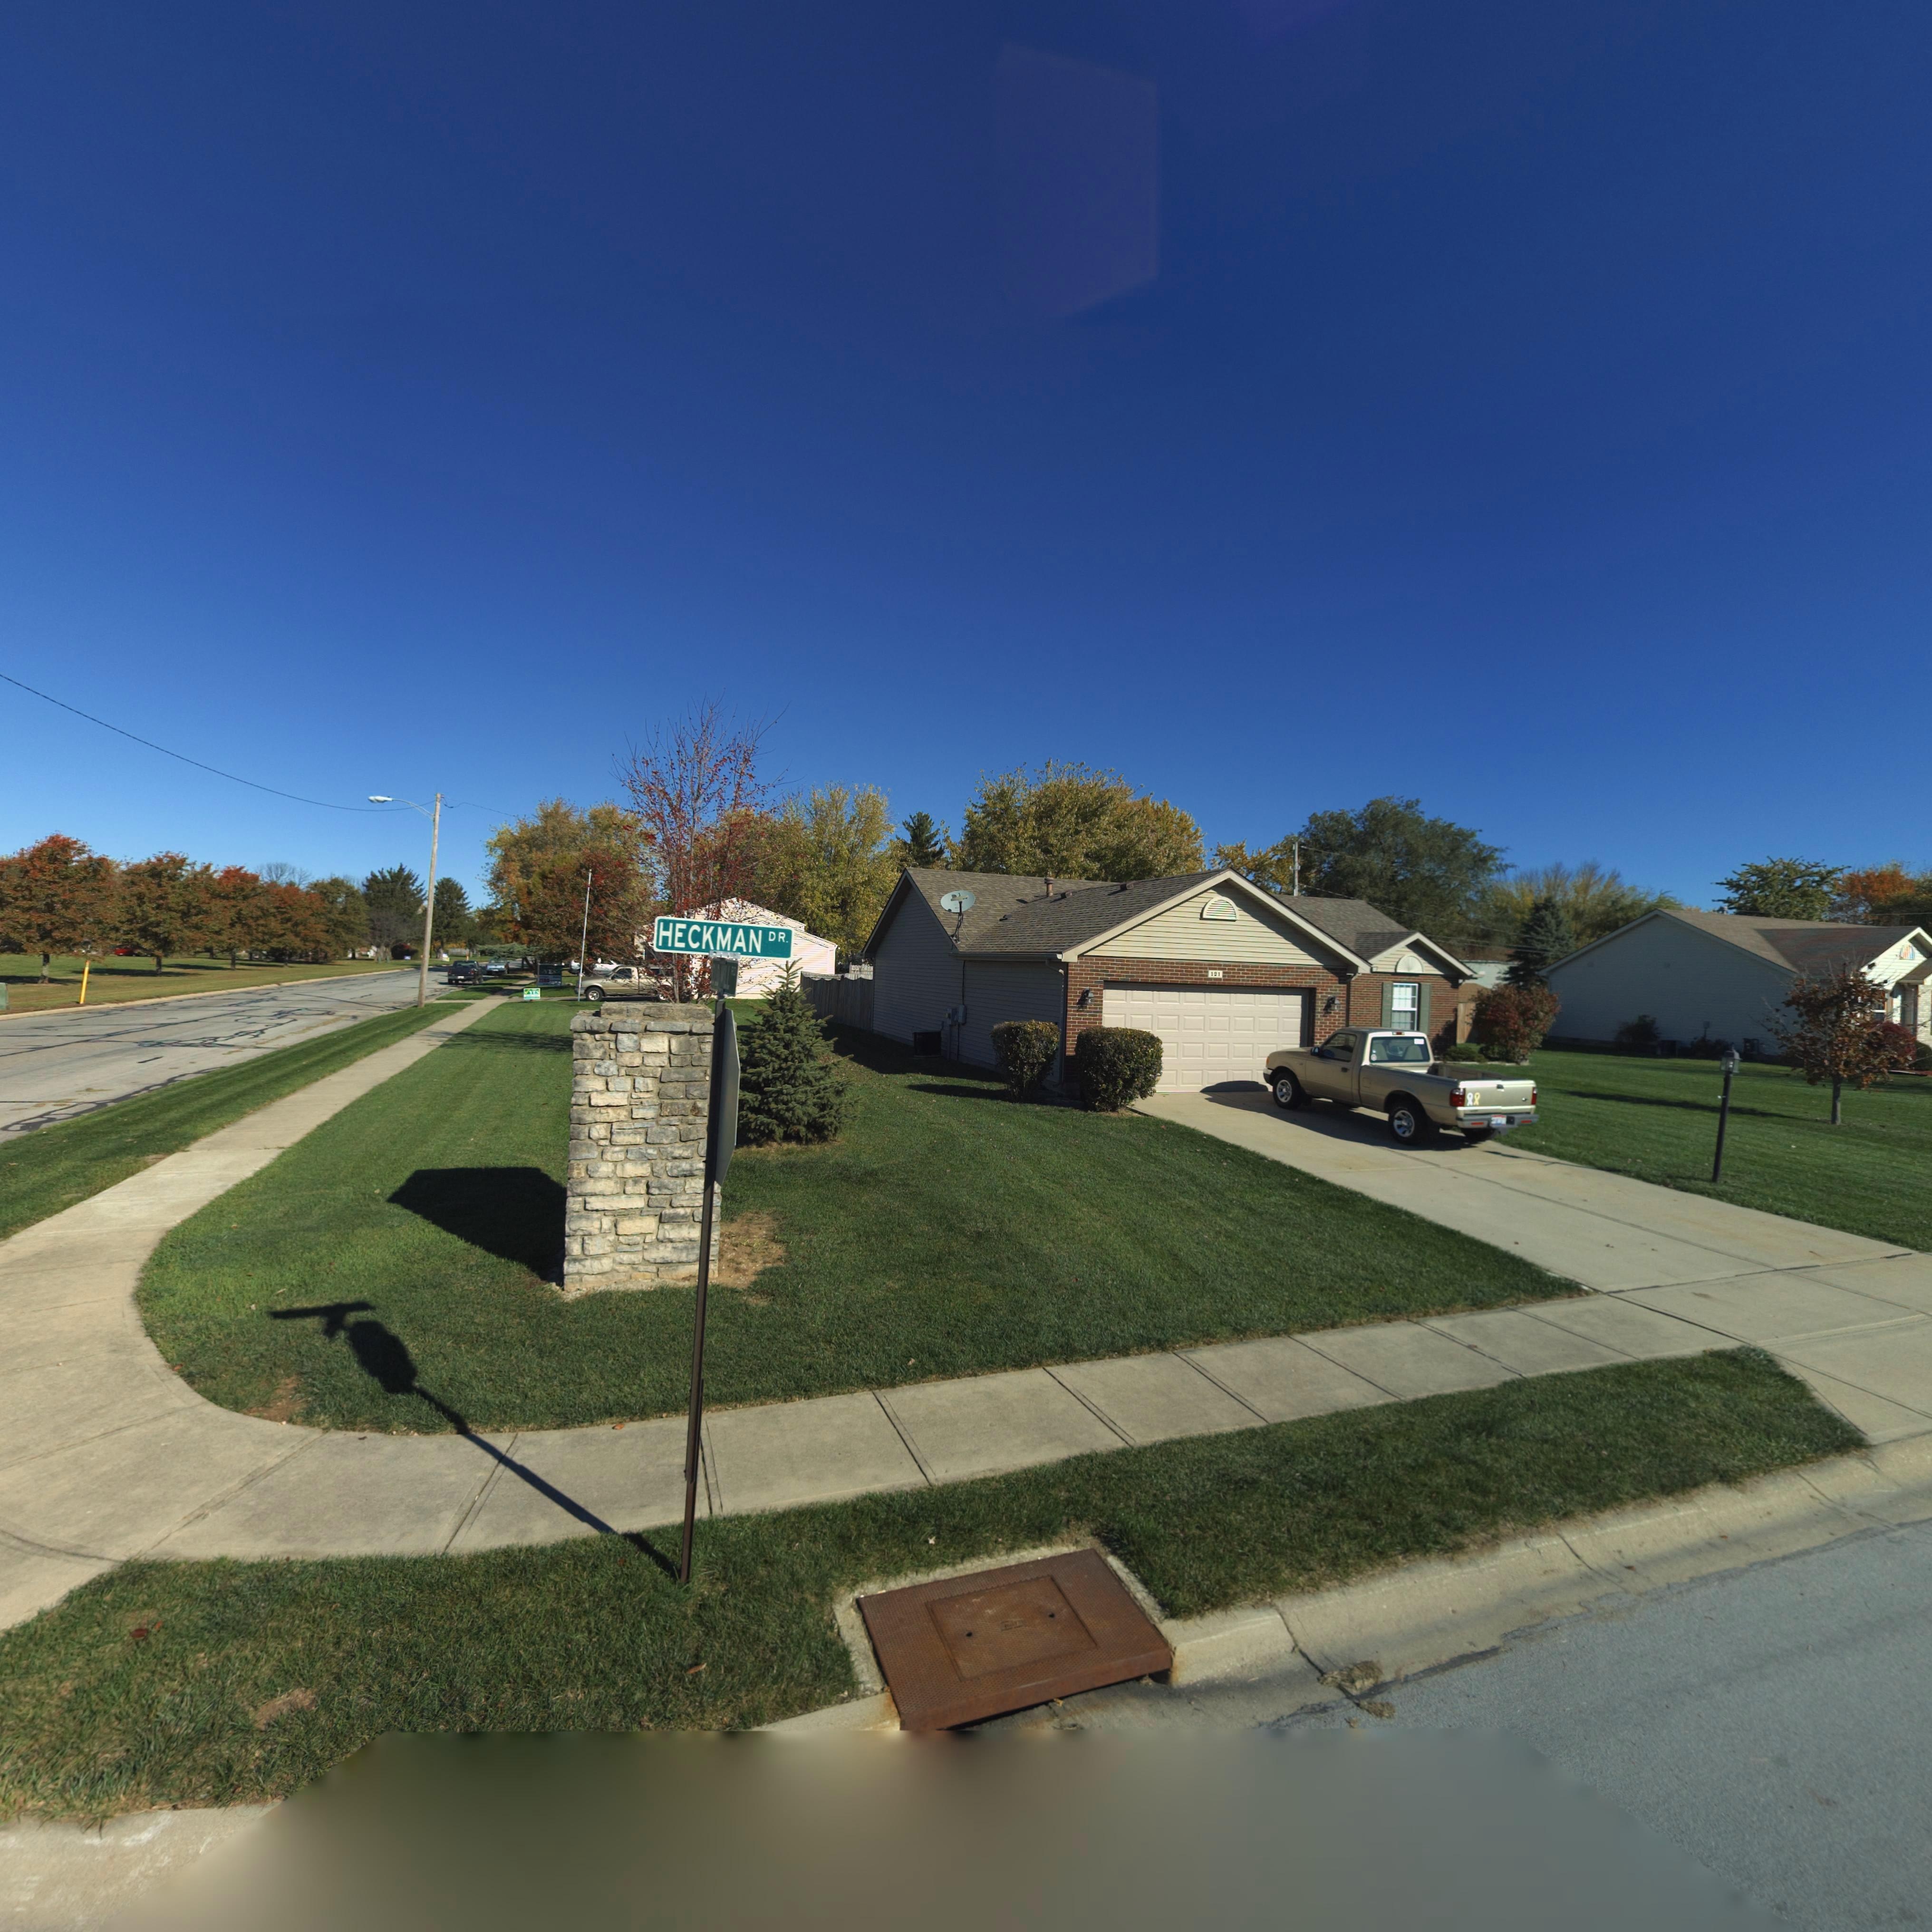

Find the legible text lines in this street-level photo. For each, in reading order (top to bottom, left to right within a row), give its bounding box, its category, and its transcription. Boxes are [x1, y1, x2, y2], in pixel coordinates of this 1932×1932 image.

[654, 918, 768, 957] None: HECKMAN
[1210, 971, 1221, 976] StreetNumber: 121